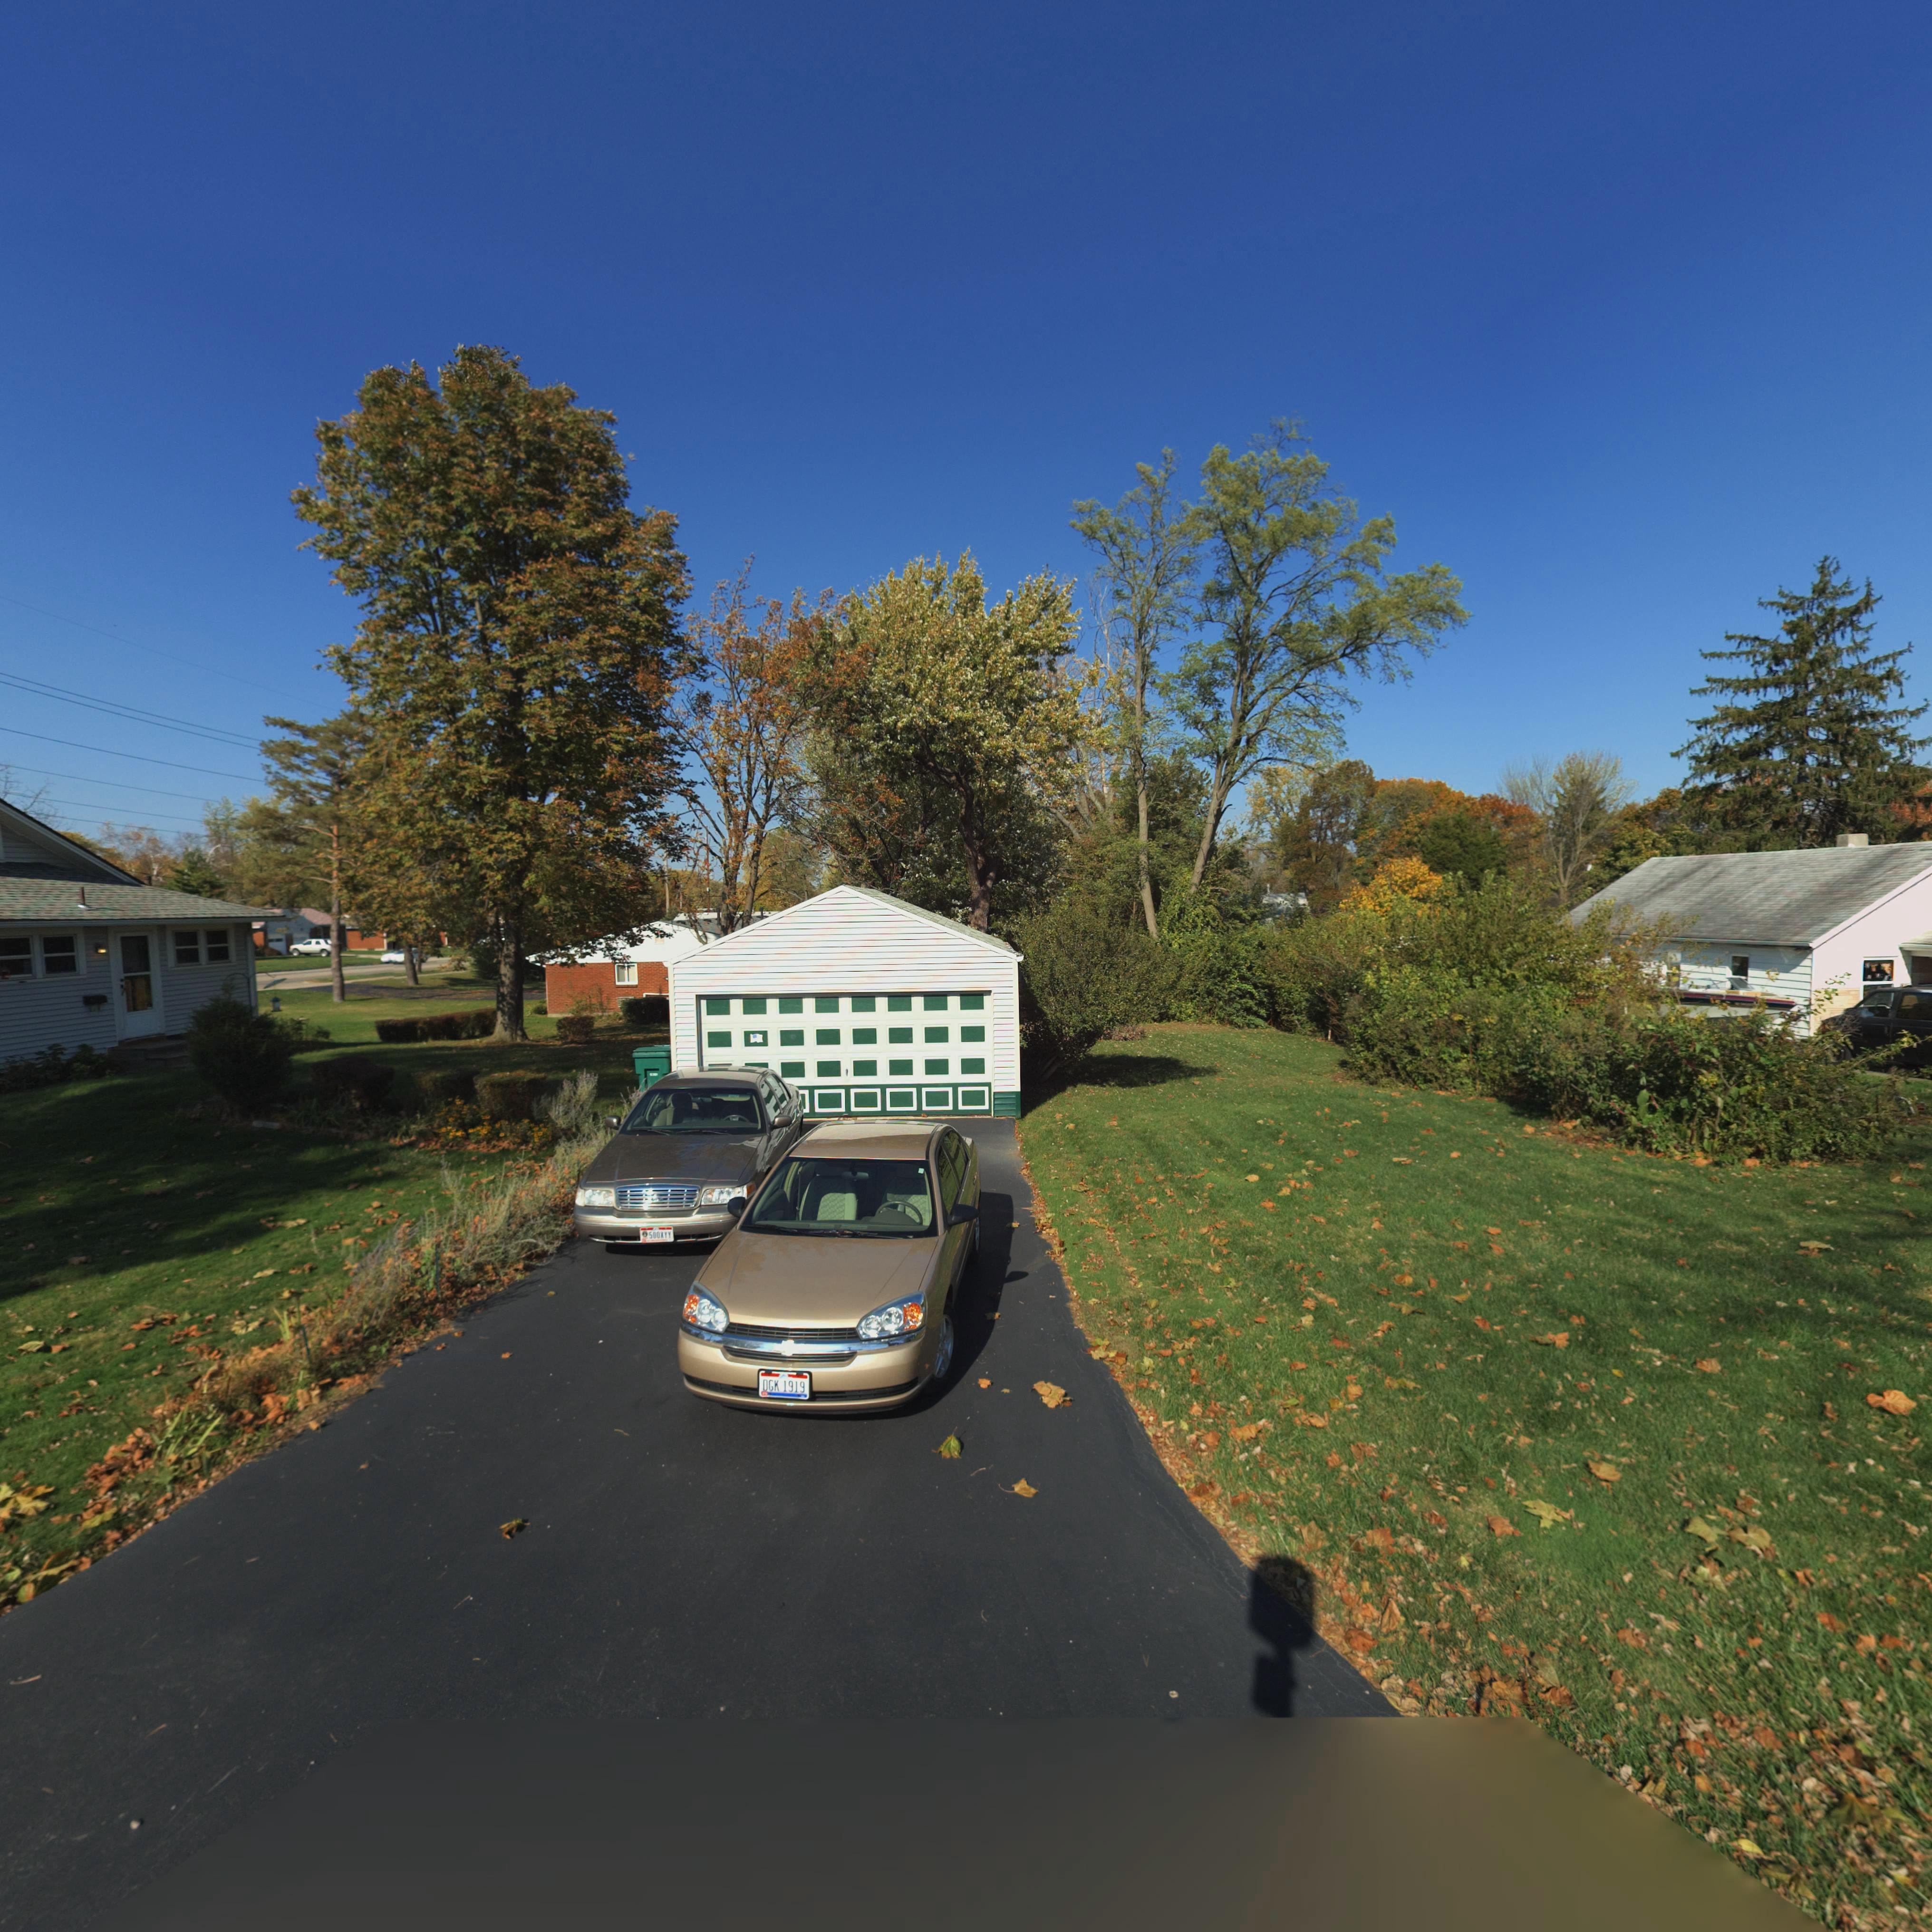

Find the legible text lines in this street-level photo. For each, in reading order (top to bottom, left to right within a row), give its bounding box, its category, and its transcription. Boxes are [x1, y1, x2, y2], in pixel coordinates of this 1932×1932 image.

[648, 1231, 671, 1239] None: 5DDXYY
[762, 1378, 806, 1393] None: DGK 1919